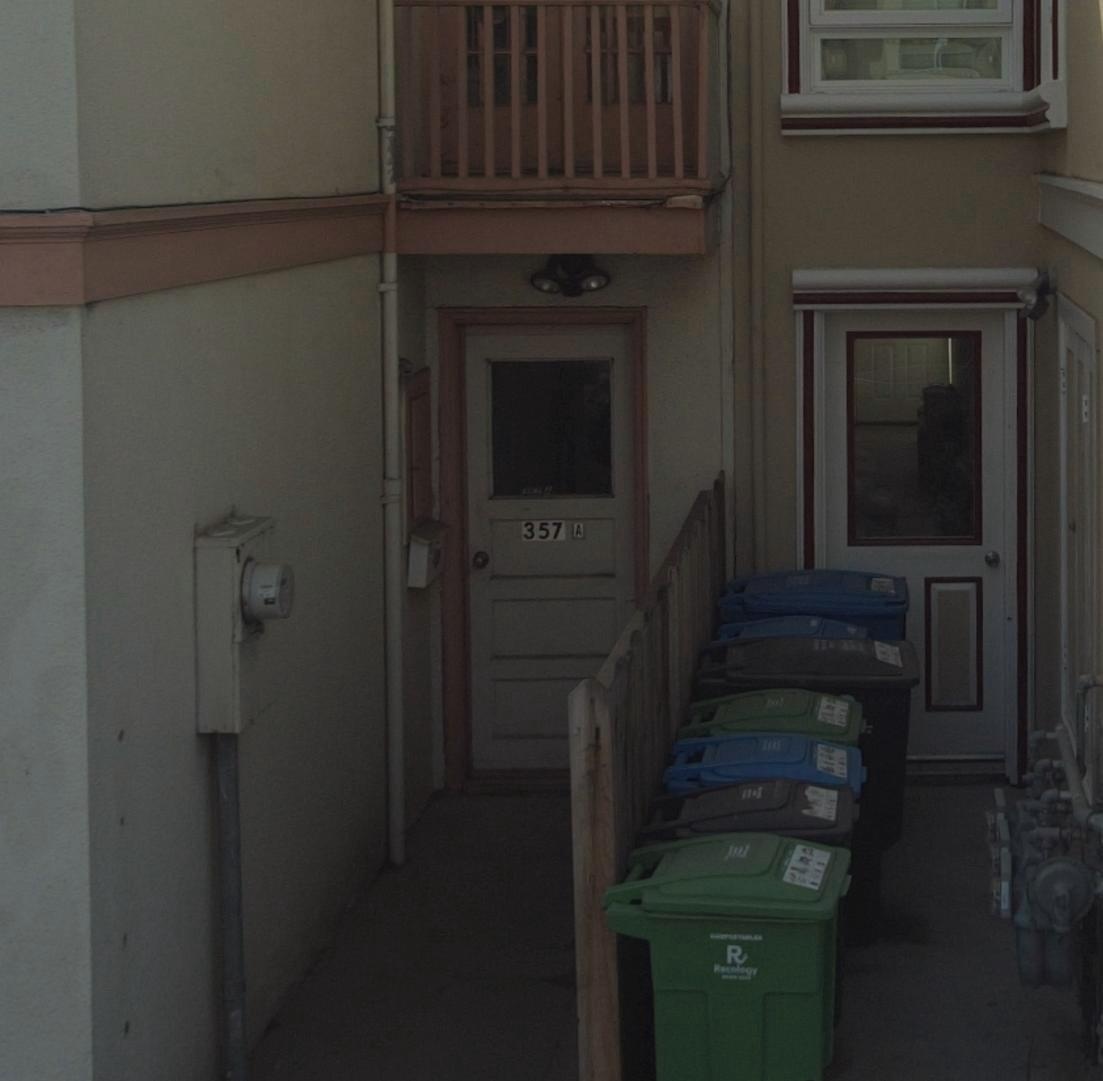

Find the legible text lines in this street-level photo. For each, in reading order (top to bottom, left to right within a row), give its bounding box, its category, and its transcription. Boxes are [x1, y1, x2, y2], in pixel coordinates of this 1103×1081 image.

[522, 520, 583, 540] StreetNumber: 357 A